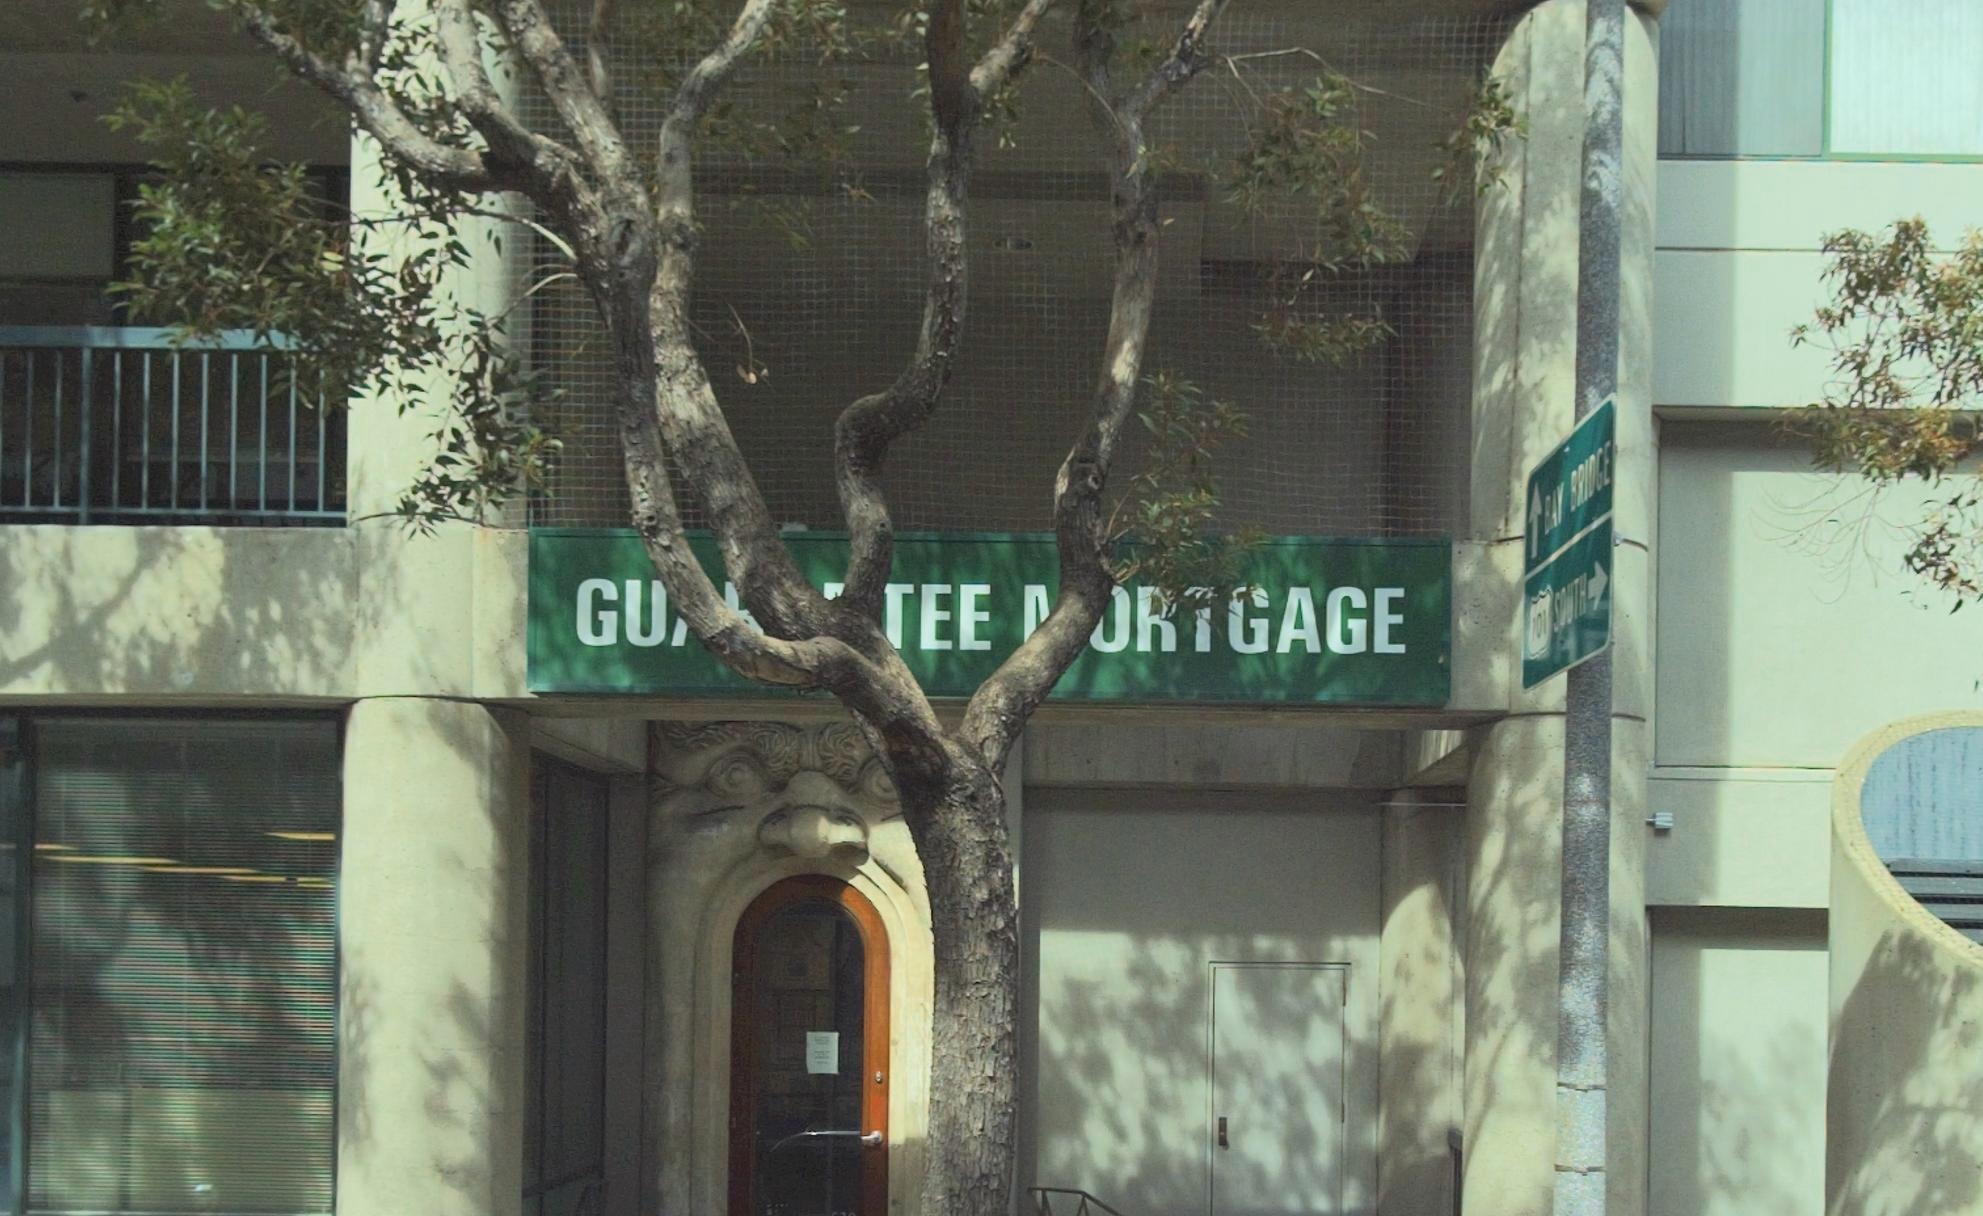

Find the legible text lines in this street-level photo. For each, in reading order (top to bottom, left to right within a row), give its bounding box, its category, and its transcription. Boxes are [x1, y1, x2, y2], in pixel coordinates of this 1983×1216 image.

[1540, 433, 1613, 543] None: BAY BRIDGE
[569, 574, 1410, 657] BusinessName: GU*****EE **R*GAGE
[1527, 603, 1551, 644] StreetName: 101
[1550, 564, 1590, 639] None: SOUTH